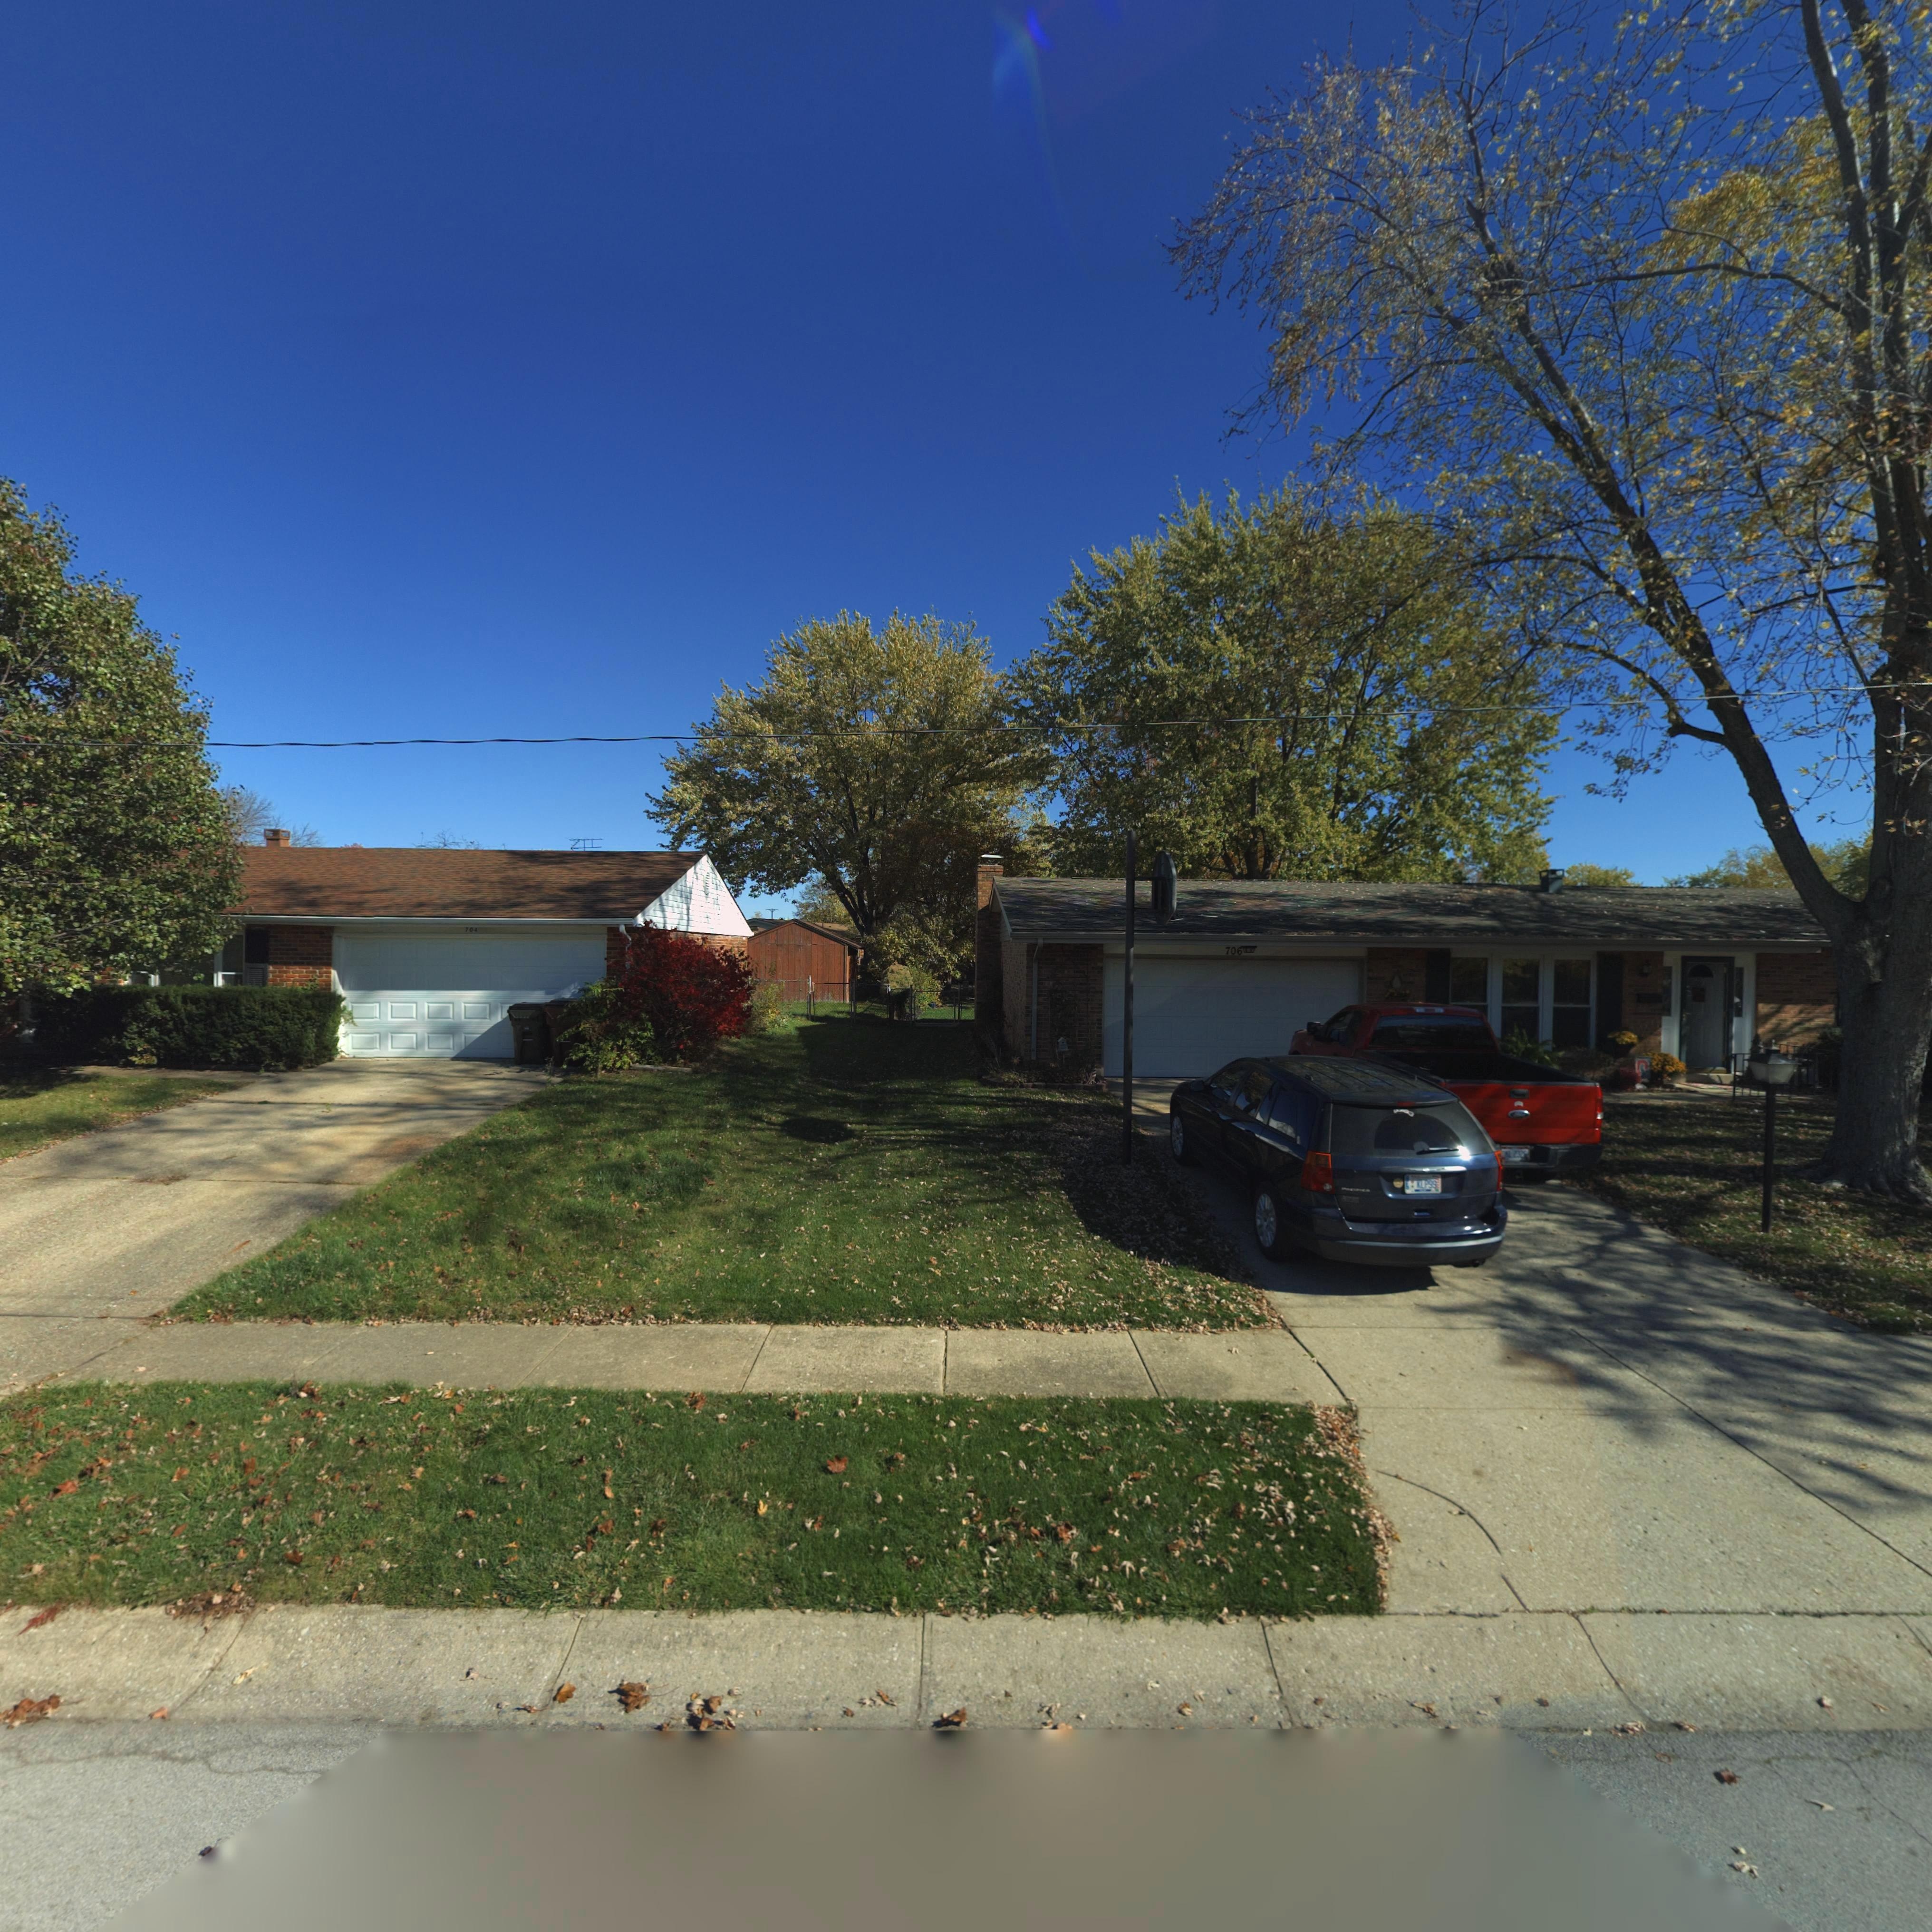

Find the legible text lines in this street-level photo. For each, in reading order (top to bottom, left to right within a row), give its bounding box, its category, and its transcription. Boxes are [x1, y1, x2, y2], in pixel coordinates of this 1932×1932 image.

[465, 927, 477, 933] StreetNumber: 704
[1225, 946, 1243, 955] StreetNumber: 706